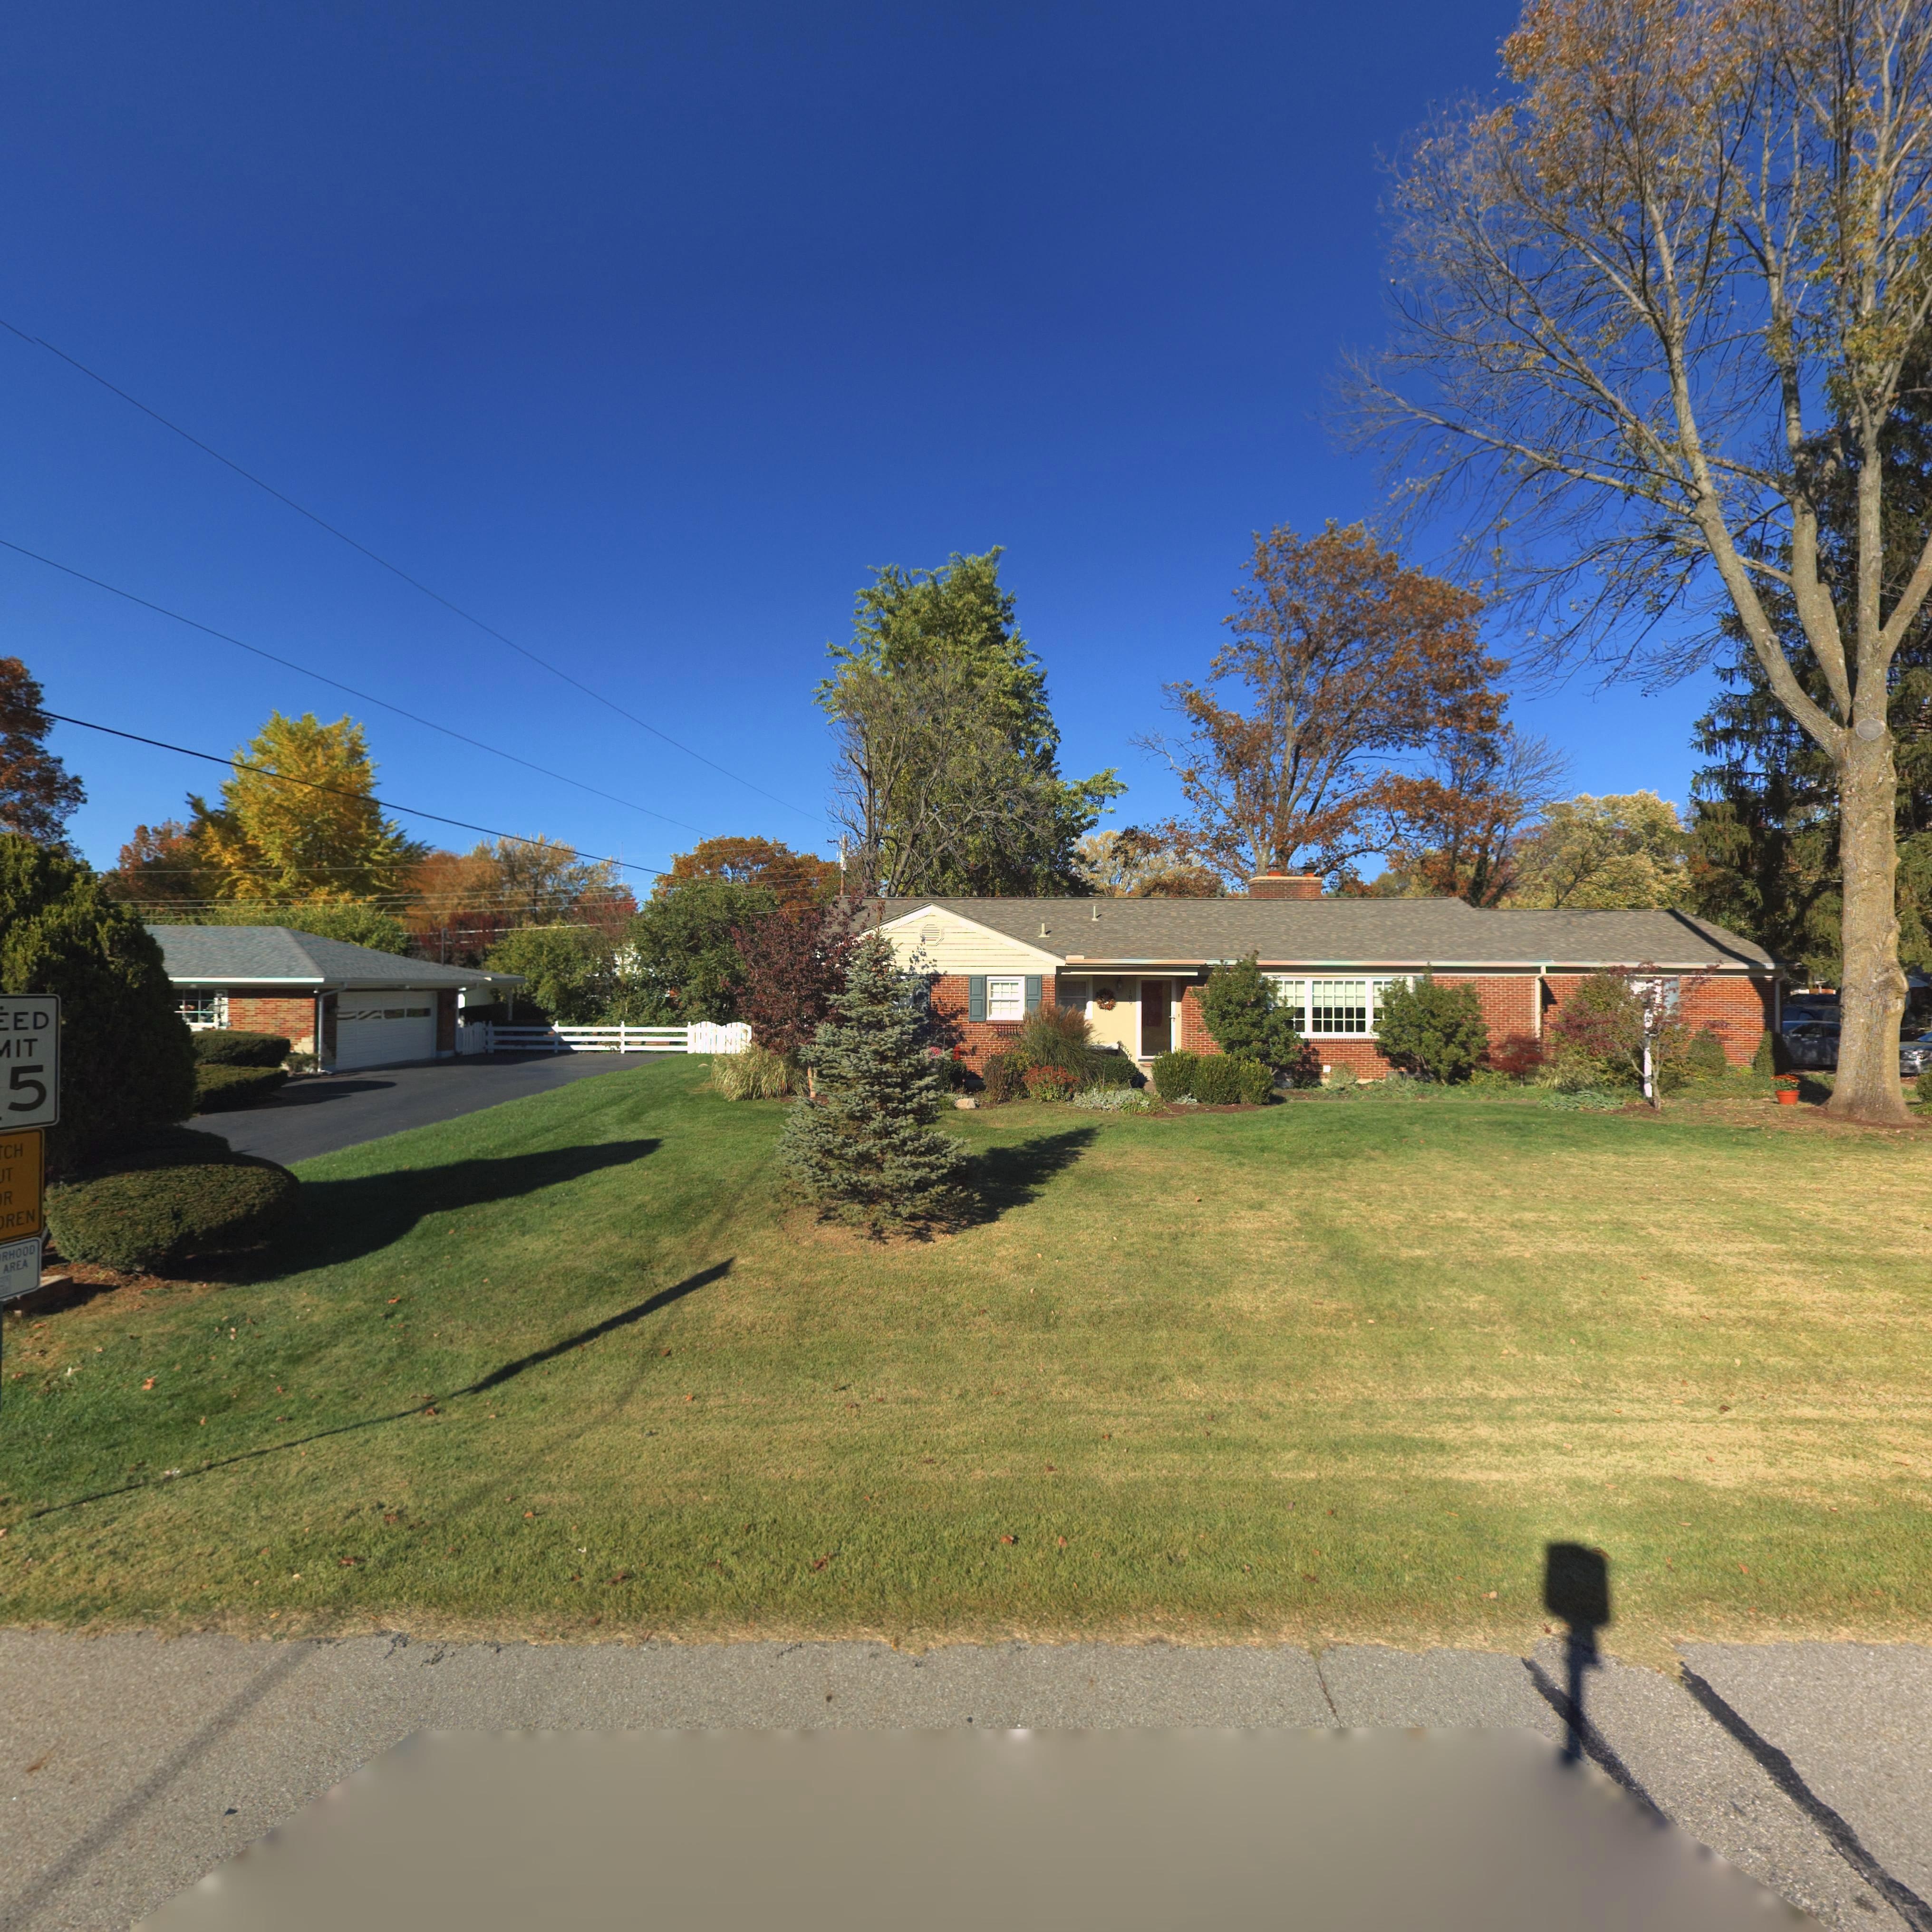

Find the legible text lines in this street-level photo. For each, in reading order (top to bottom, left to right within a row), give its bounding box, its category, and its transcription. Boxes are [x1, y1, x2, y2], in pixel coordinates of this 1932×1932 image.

[1128, 988, 1132, 1005] StreetNumber: 109
[11, 1011, 49, 1032] None: ED
[15, 1037, 40, 1059] None: IT
[6, 1063, 48, 1113] None: 5
[3, 1142, 24, 1161] None: CH
[3, 1166, 14, 1183] None: T
[2, 1189, 14, 1207] None: R
[5, 1207, 37, 1229] None: REN
[0, 1243, 36, 1263] None: RHOOD
[1, 1257, 30, 1275] None: AREA